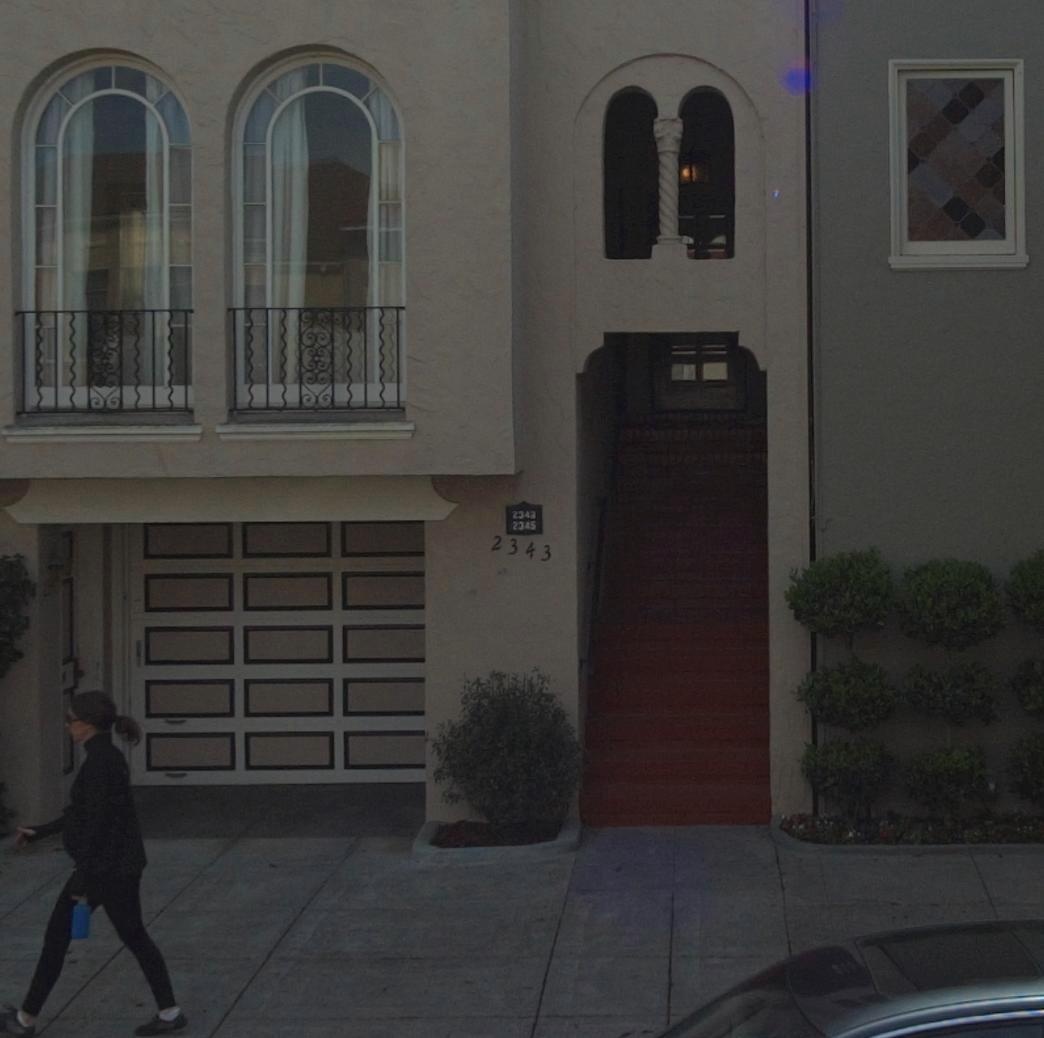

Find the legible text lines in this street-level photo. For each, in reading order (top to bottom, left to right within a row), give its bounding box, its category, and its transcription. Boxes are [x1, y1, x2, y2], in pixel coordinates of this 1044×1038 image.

[510, 509, 538, 521] StreetNumber: 2343
[510, 519, 538, 532] StreetNumber: 2345
[488, 533, 555, 565] StreetNumber: 2343